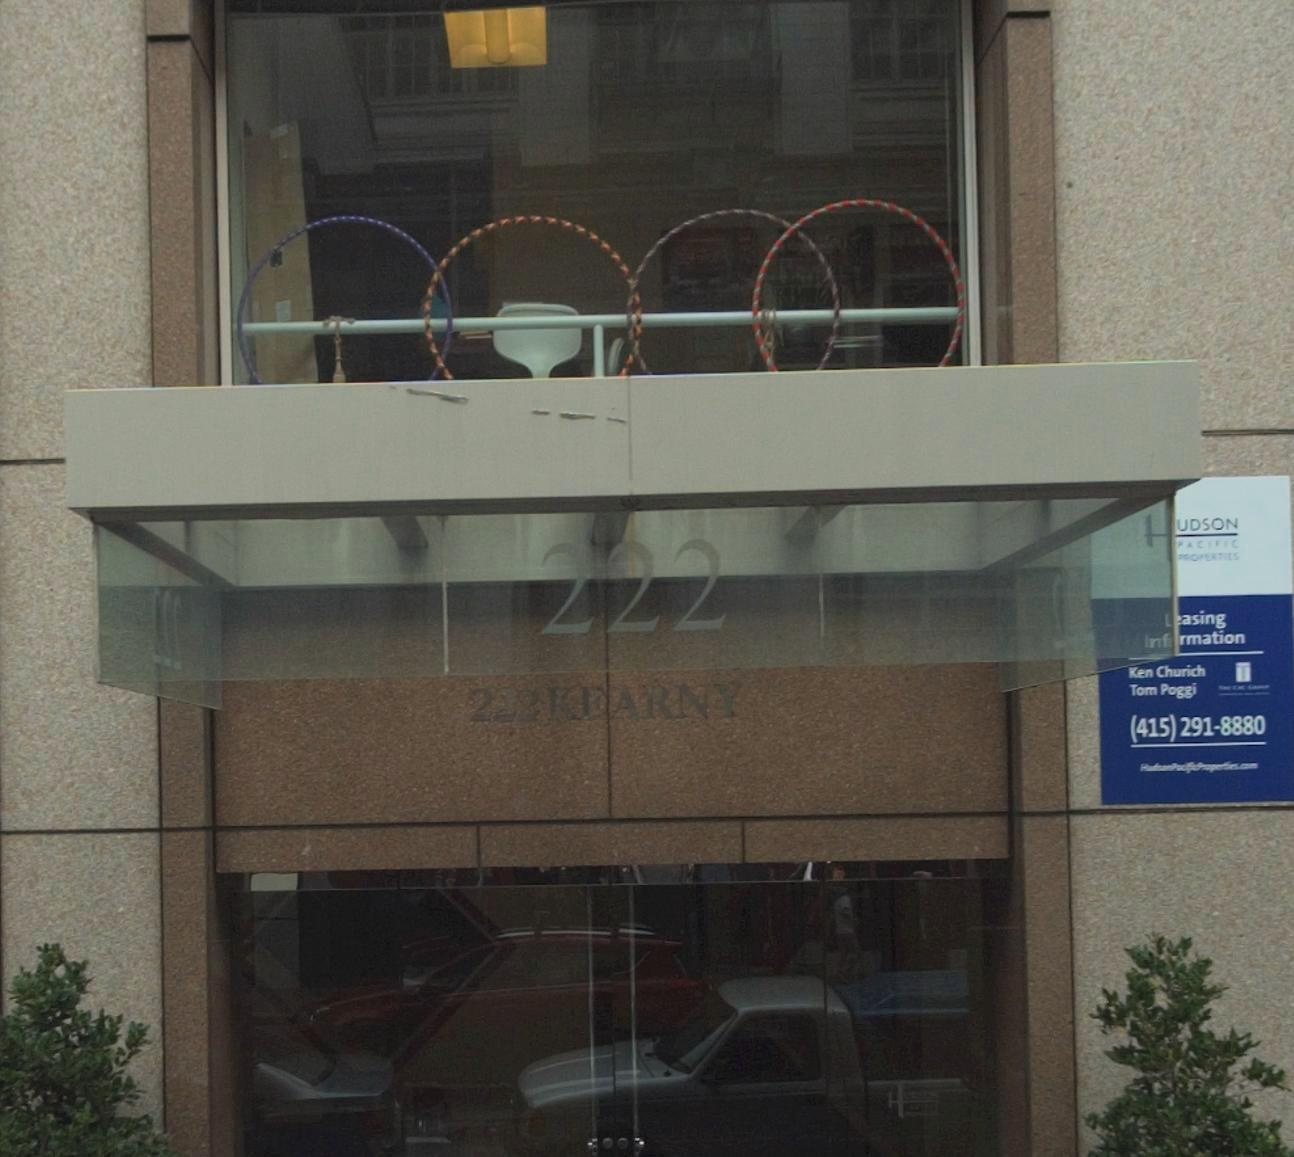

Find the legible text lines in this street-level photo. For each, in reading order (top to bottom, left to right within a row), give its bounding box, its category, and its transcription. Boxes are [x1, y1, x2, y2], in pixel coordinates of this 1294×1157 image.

[1176, 515, 1240, 533] None: UDSON
[1176, 538, 1241, 551] None: PACIFIC
[536, 535, 732, 639] StreetNumber: 222
[1182, 608, 1229, 630] None: asing
[1186, 629, 1247, 646] None: mation
[1128, 663, 1207, 680] None: Ken Churich
[467, 683, 543, 724] StreetNumber: 222
[544, 678, 749, 721] StreetName: KEARNY
[1127, 681, 1199, 700] None: Tom Poggi
[1128, 712, 1269, 743] None: (415) 291-8880